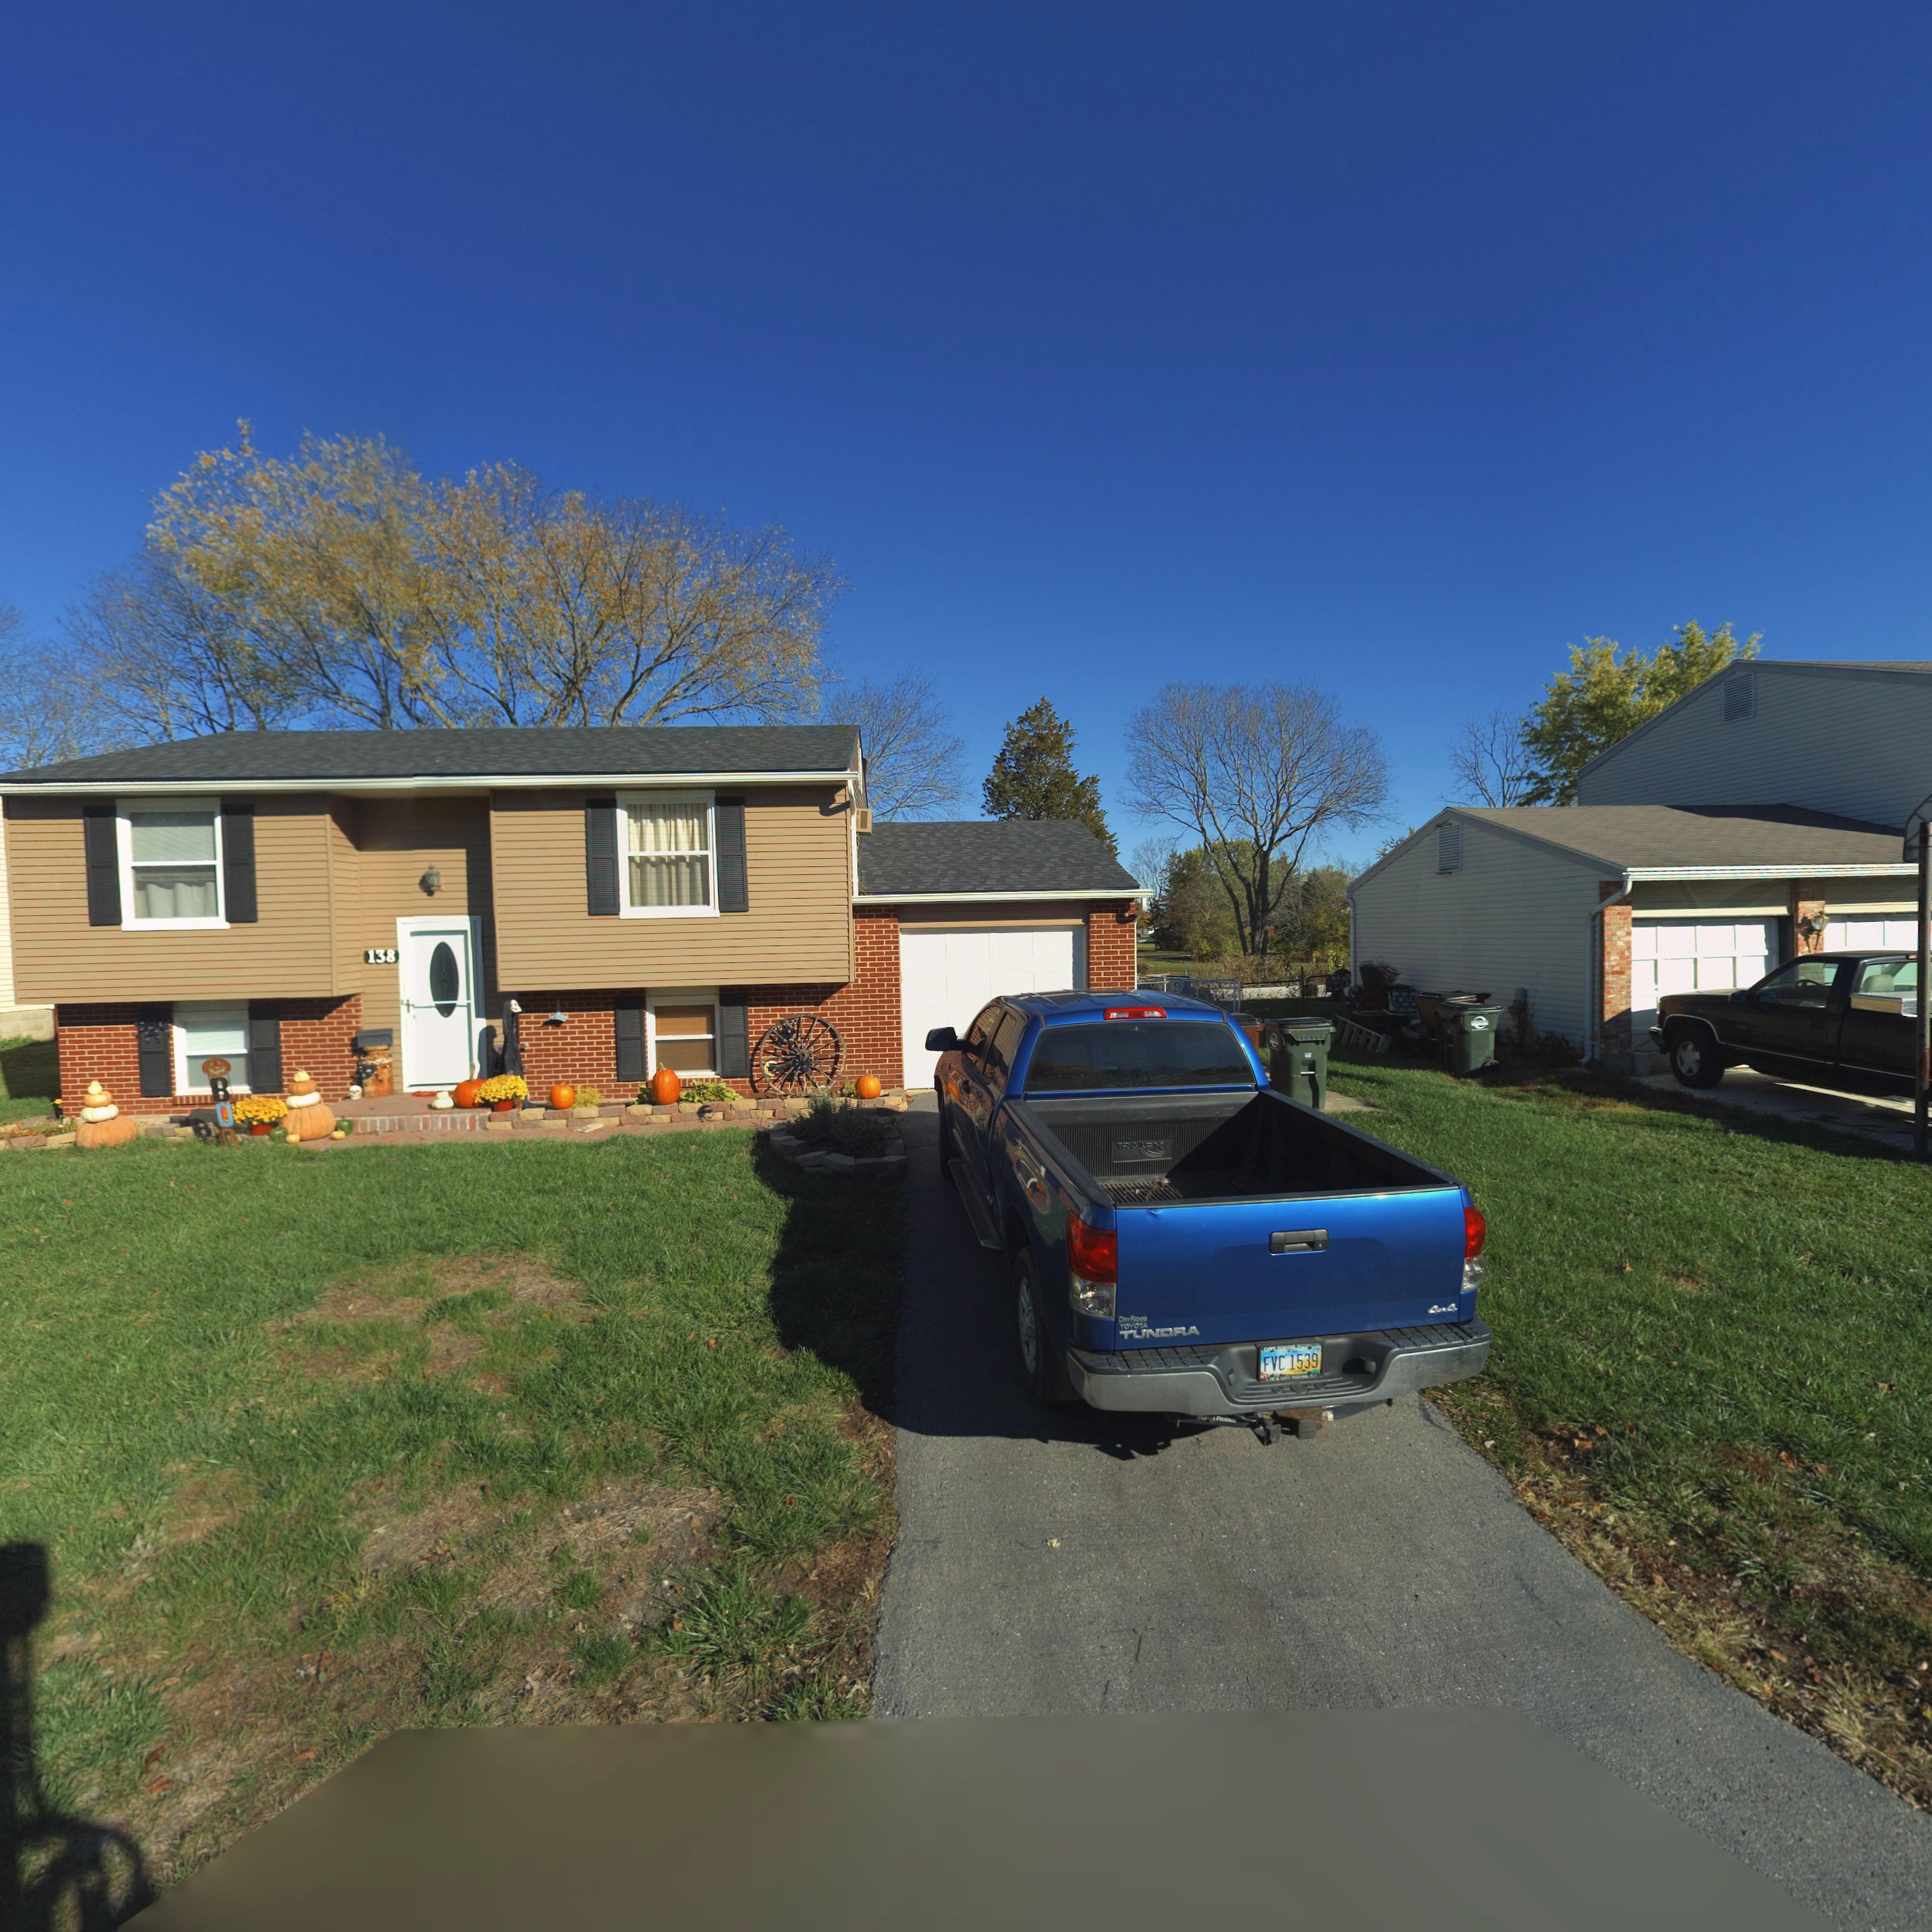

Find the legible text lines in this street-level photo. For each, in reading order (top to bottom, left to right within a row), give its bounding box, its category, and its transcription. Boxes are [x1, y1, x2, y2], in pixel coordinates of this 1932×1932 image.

[367, 948, 396, 964] StreetNumber: 138